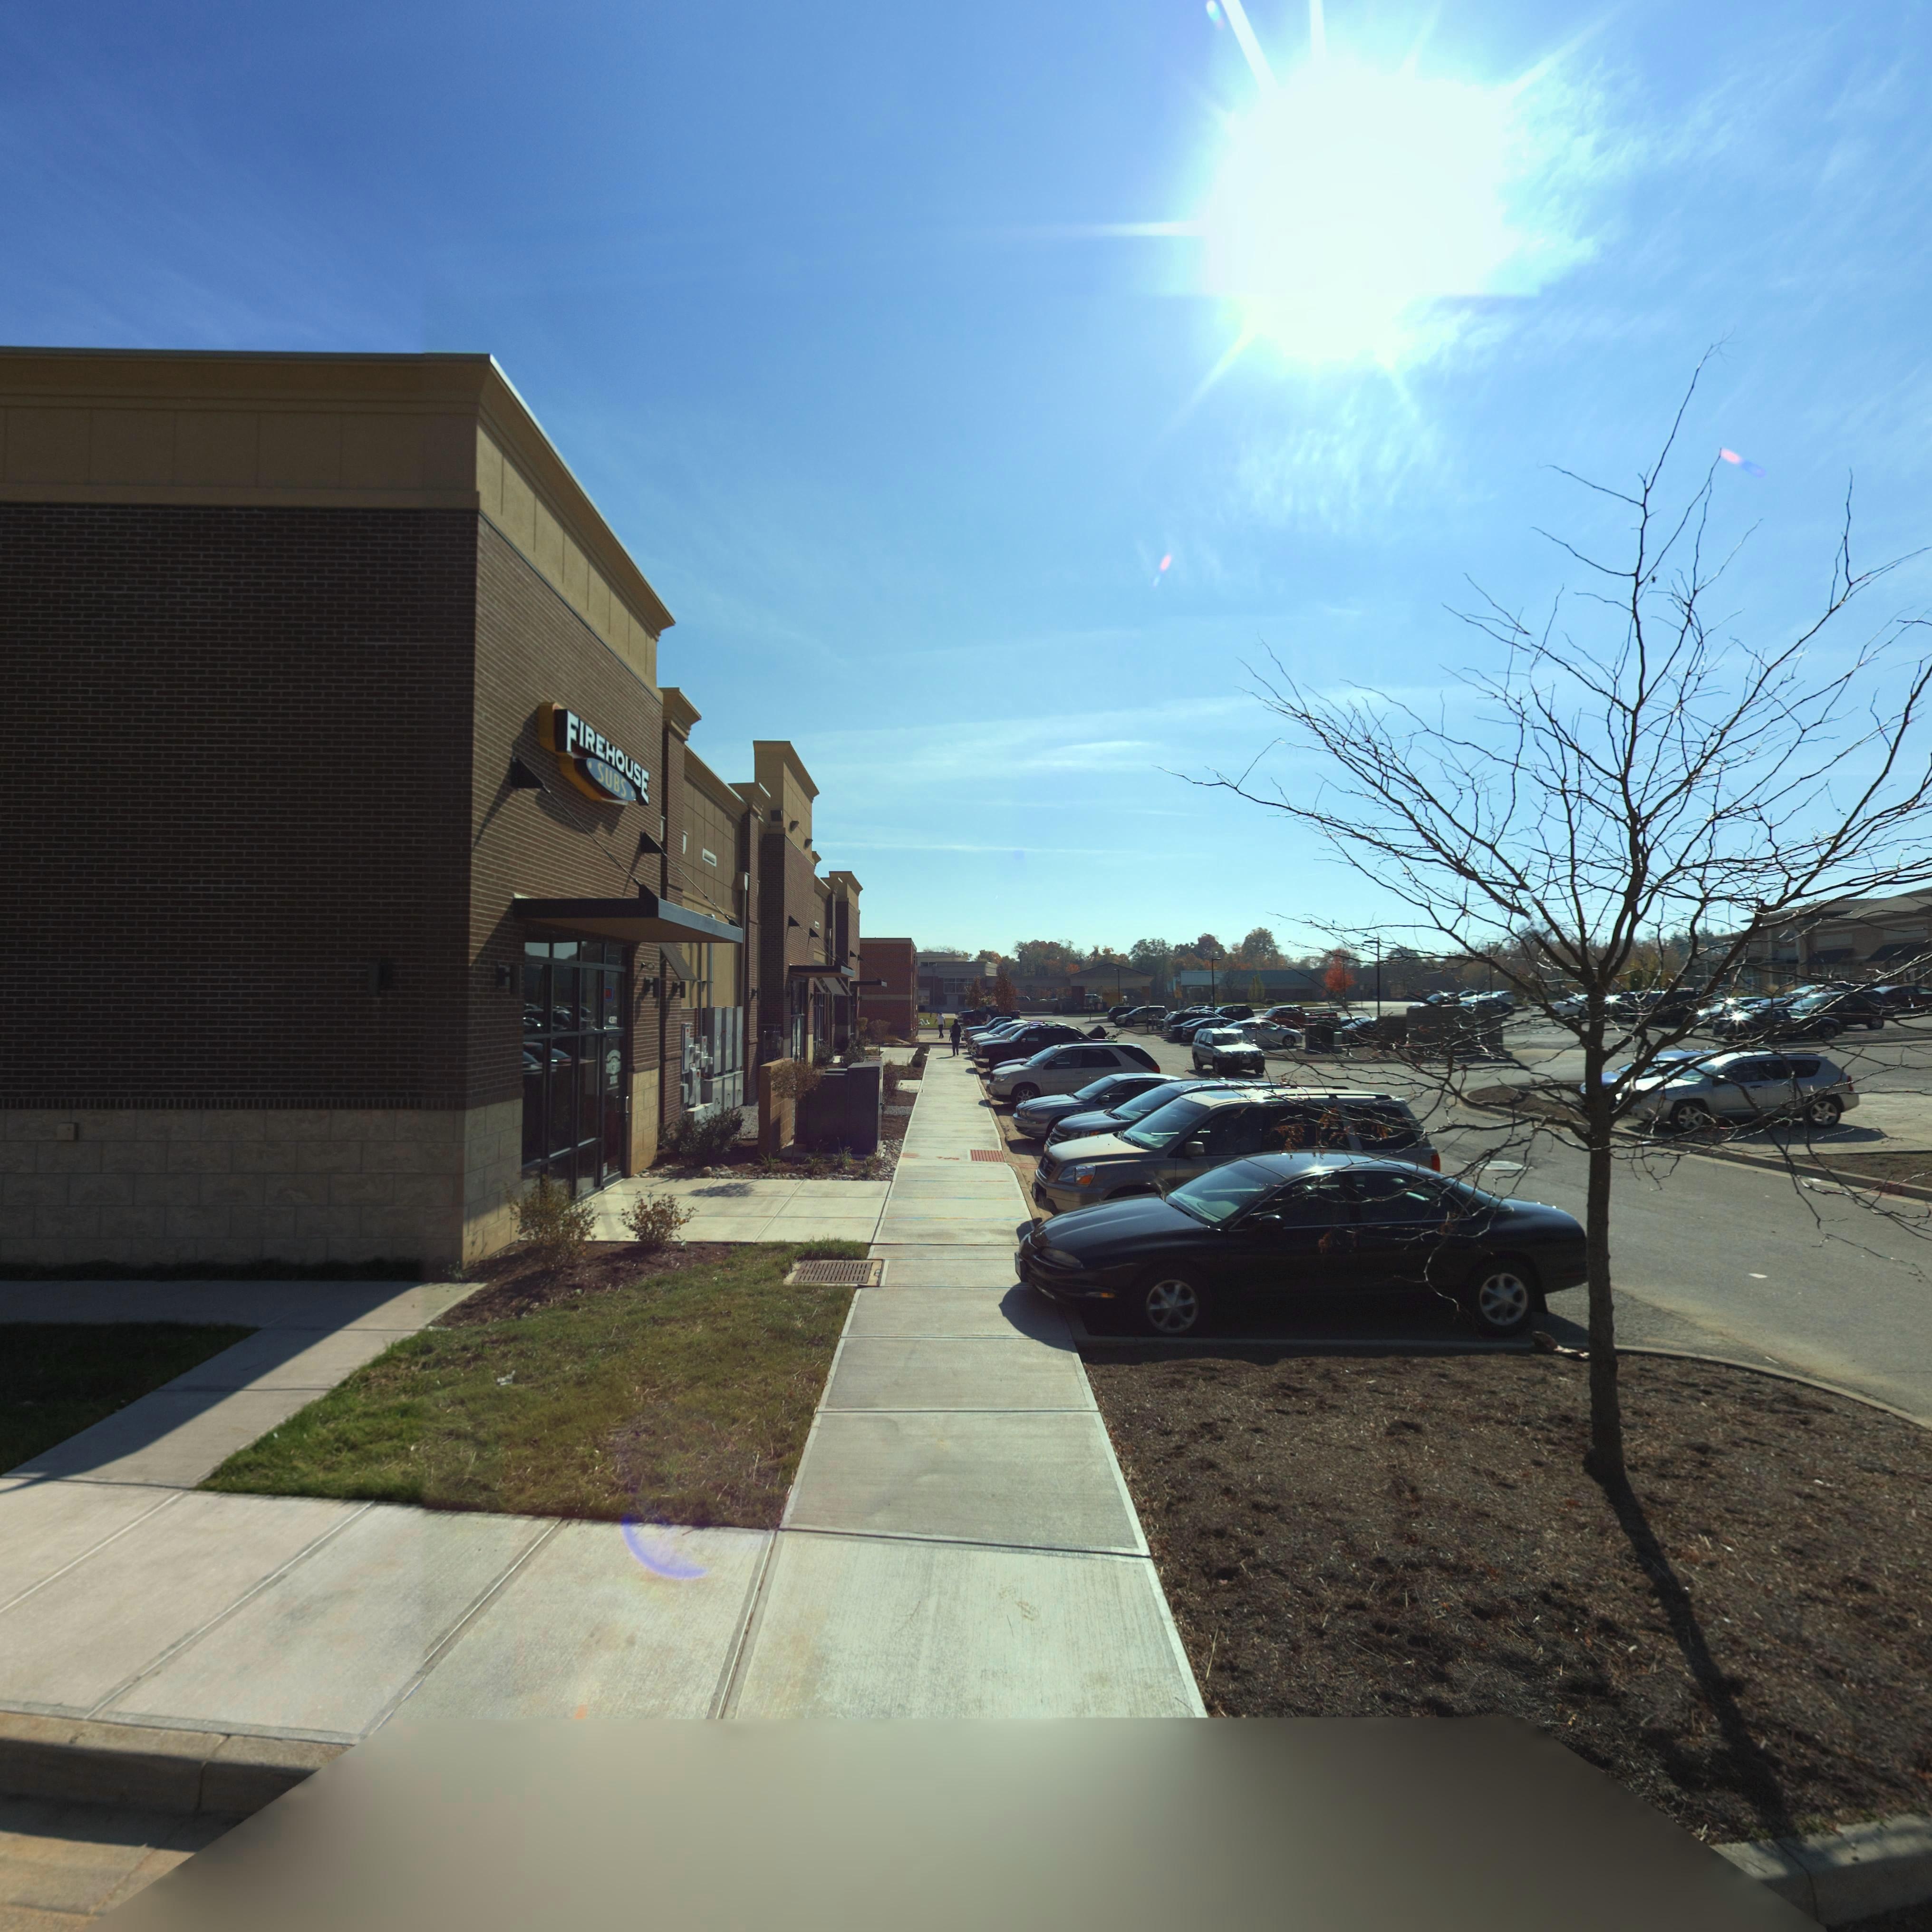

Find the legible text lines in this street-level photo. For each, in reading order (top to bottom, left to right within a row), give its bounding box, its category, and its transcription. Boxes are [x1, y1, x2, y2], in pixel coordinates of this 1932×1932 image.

[565, 707, 650, 807] None: FIREHOUSE
[596, 761, 628, 799] None: SUBS